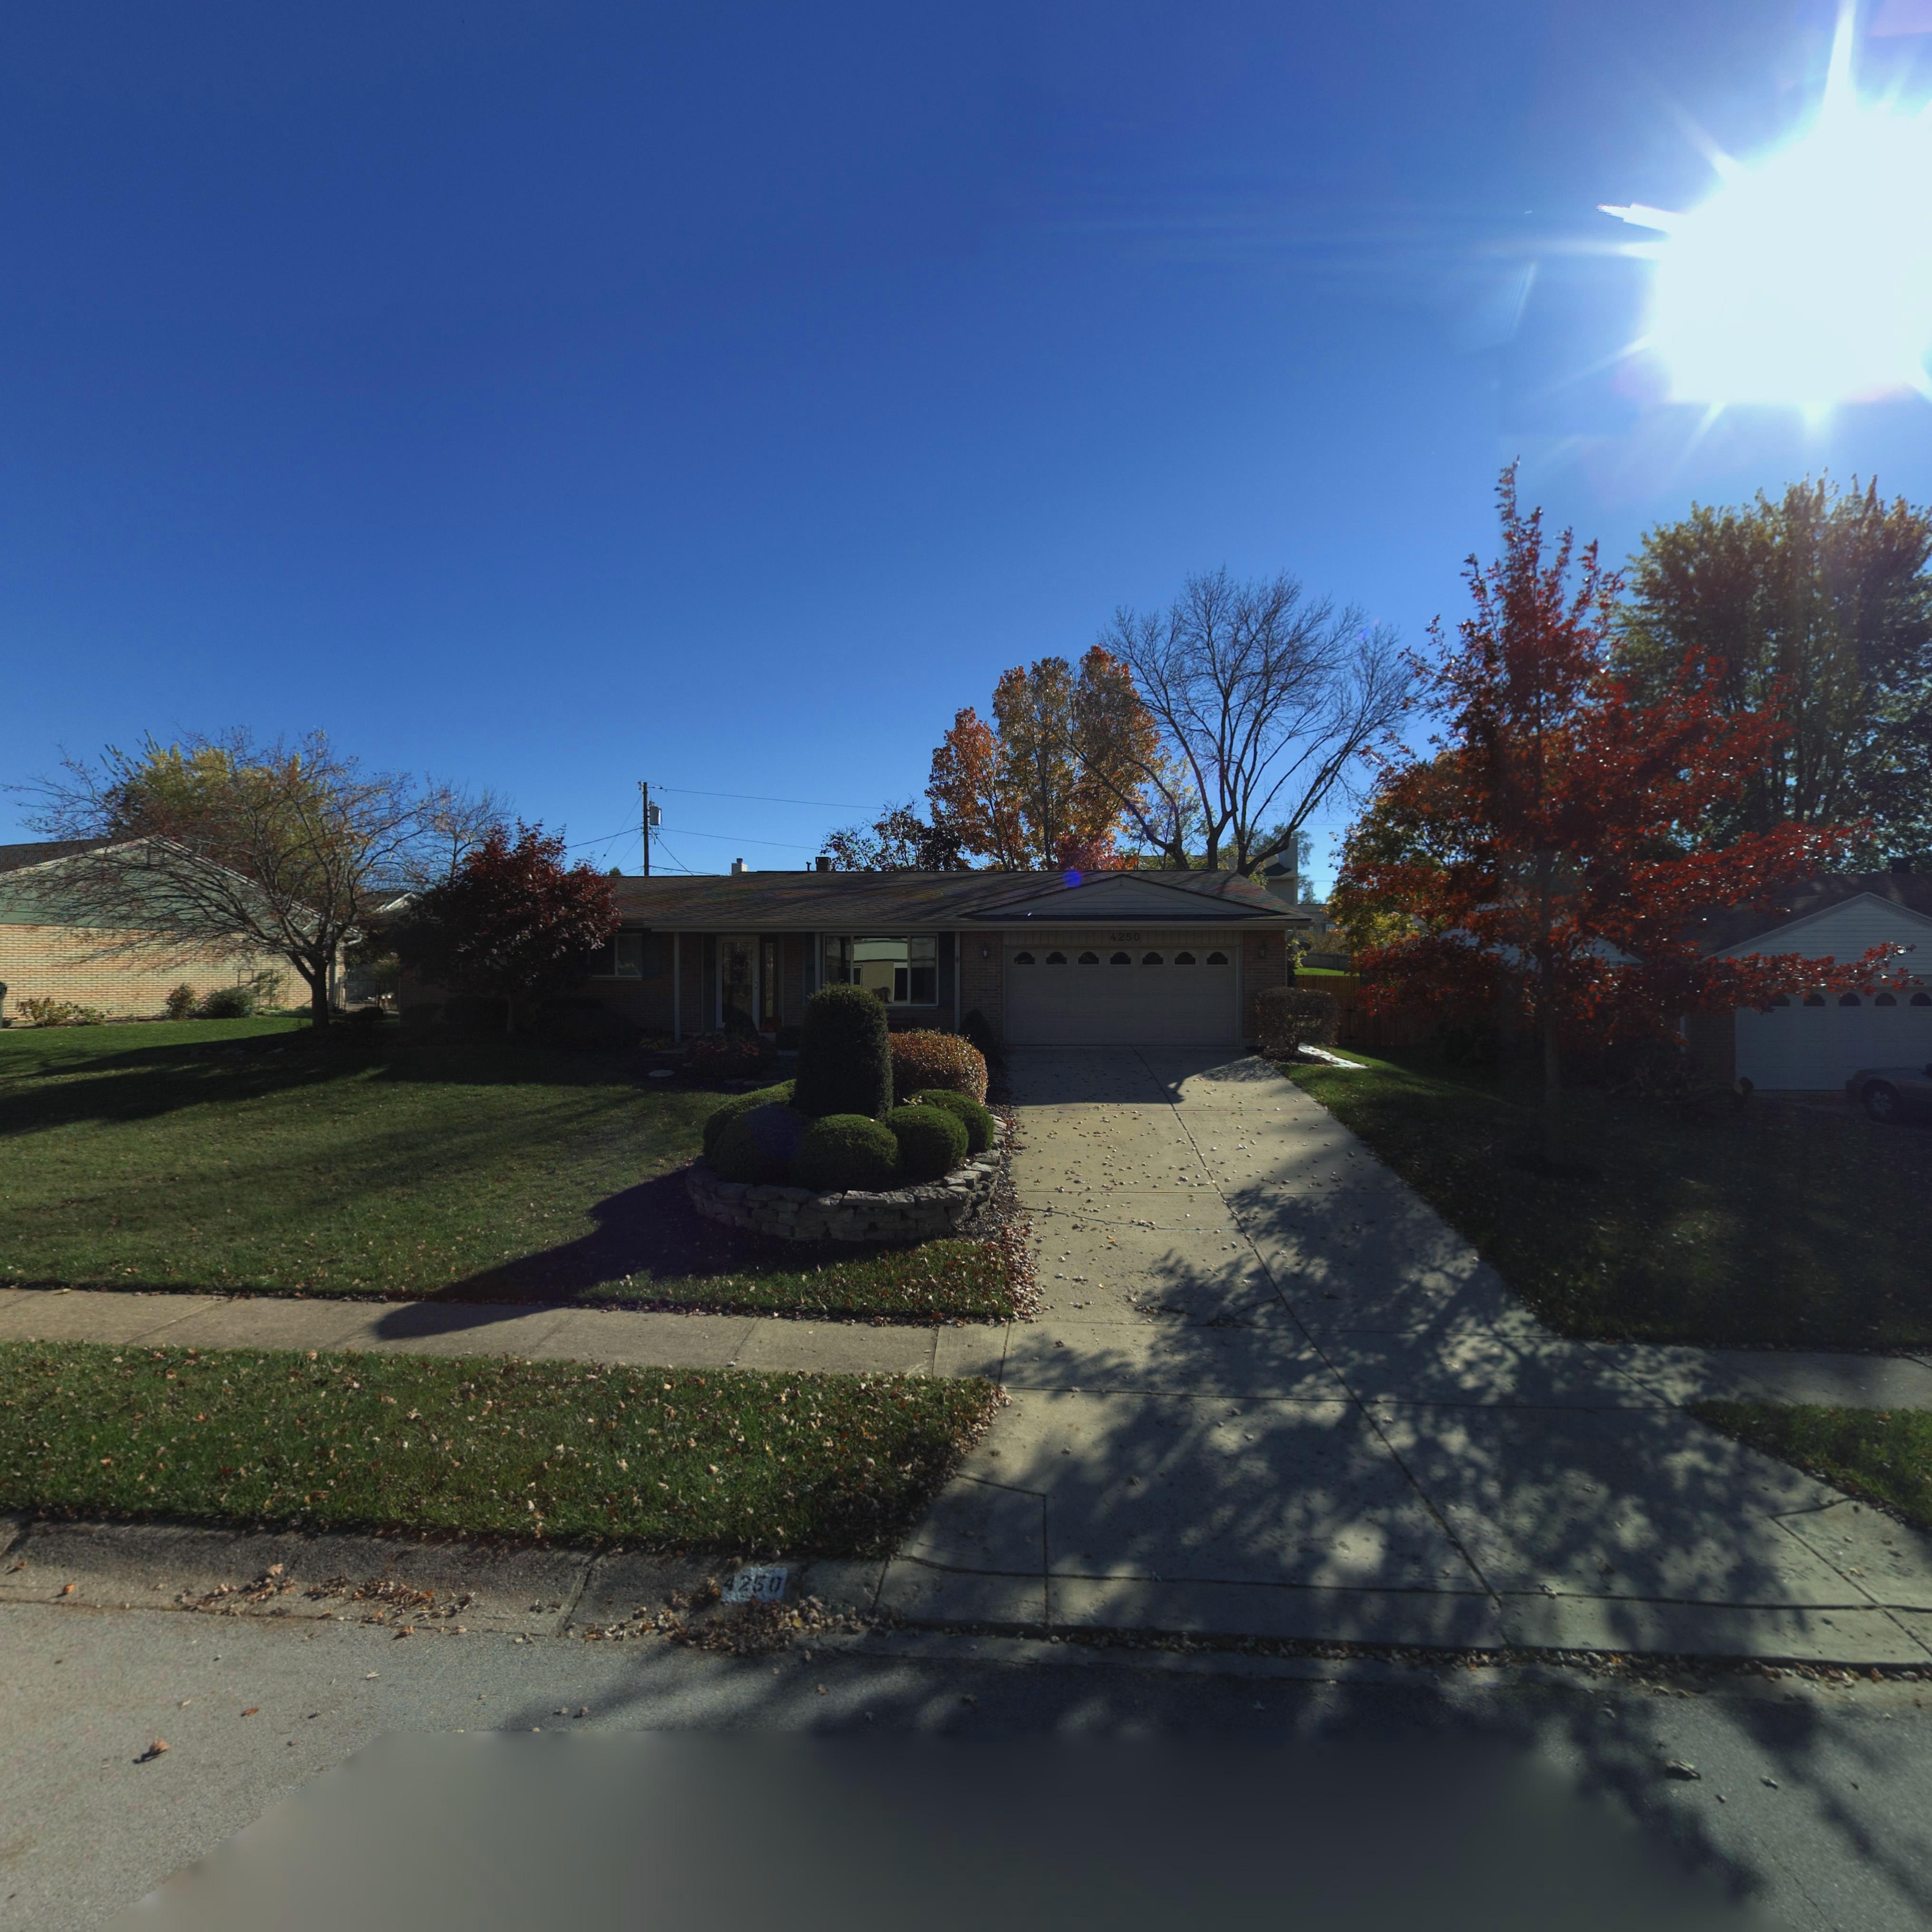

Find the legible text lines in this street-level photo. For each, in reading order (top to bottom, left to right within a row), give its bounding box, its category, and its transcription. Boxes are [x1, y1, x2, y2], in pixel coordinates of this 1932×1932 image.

[1110, 932, 1140, 942] StreetNumber: 4250
[721, 1573, 784, 1594] StreetNumber: 4250